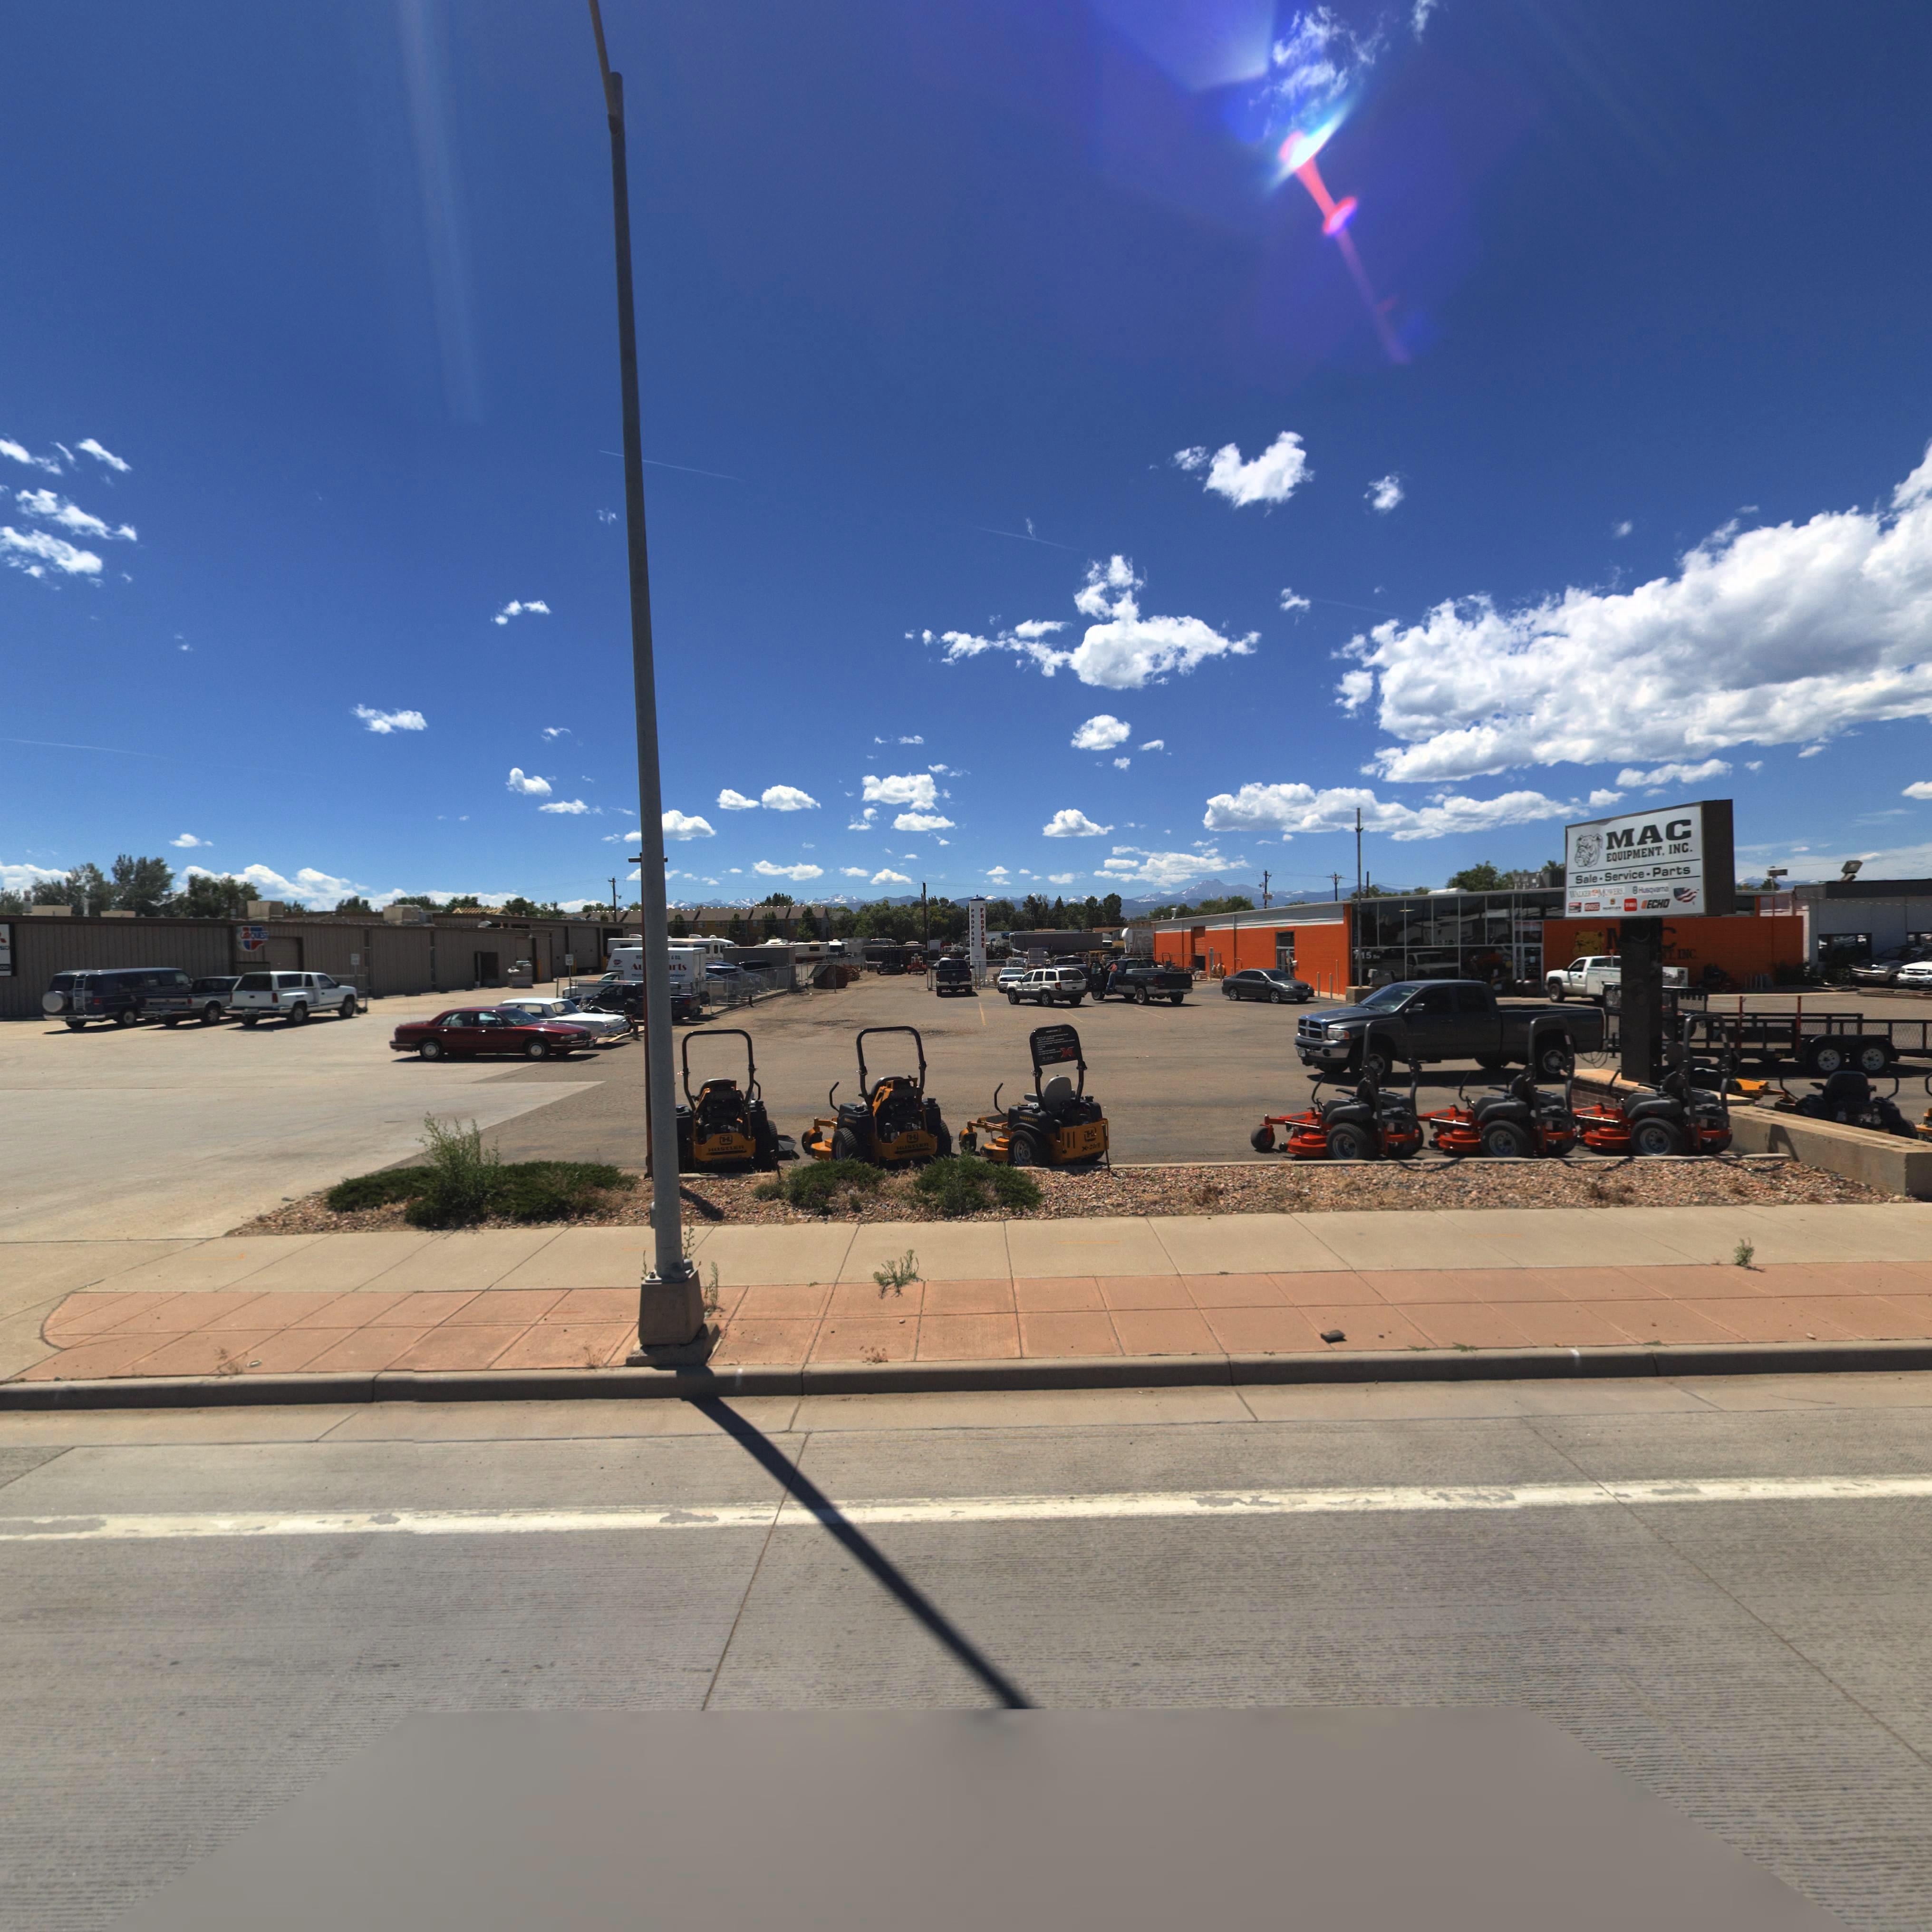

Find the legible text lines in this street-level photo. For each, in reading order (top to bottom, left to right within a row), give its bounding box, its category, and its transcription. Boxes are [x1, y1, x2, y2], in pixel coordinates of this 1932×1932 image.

[1605, 818, 1692, 850] BusinessName: MAC
[1606, 841, 1693, 862] BusinessName: EQUIPMENT, INC.
[239, 931, 269, 940] BusinessName: CARQUEST
[1354, 951, 1372, 959] StreetNumber: 715
[1664, 948, 1699, 960] BusinessName: T, INC.
[629, 962, 687, 971] BusinessName: A*****rts